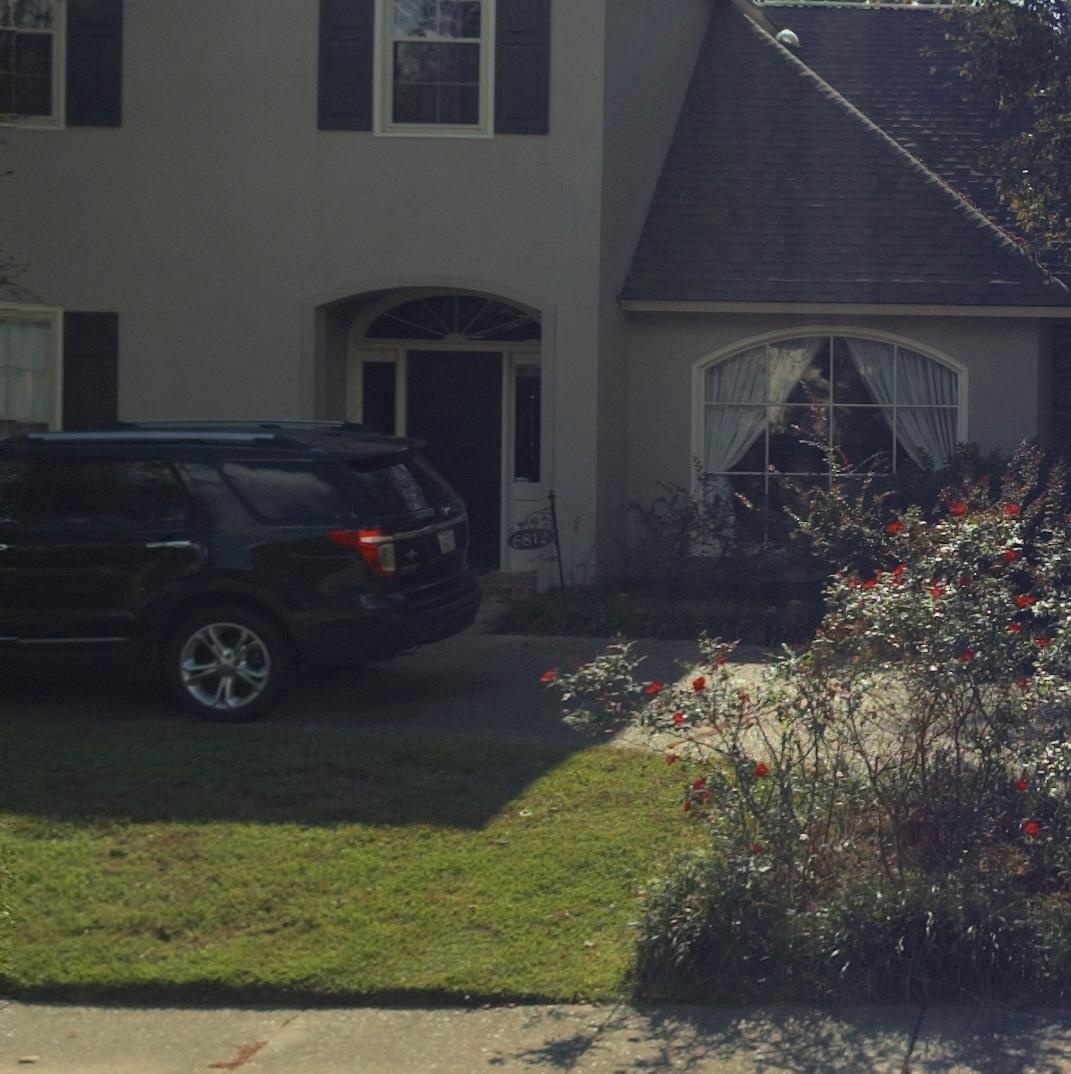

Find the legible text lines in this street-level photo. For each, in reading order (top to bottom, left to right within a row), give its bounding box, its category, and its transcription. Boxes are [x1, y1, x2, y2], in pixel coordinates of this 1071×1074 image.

[511, 530, 549, 548] StreetNumber: 6812